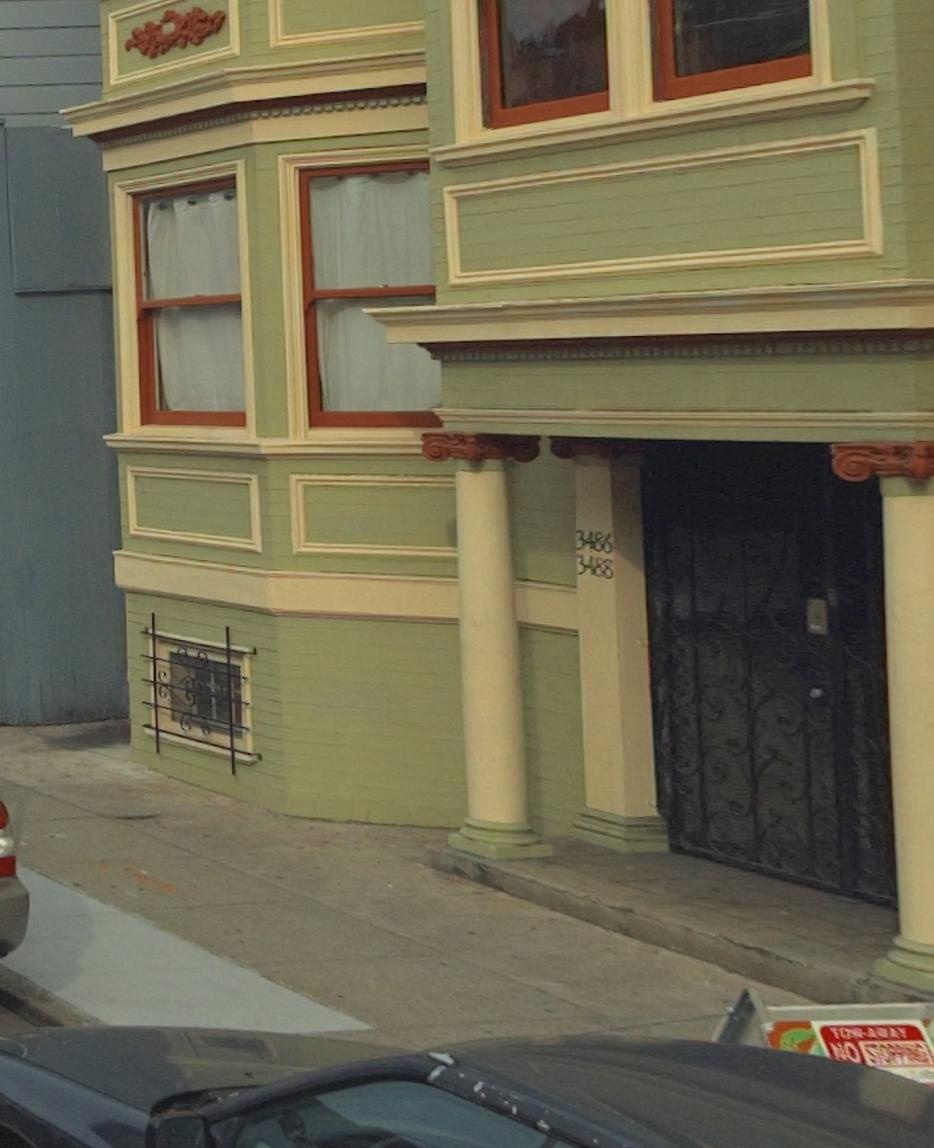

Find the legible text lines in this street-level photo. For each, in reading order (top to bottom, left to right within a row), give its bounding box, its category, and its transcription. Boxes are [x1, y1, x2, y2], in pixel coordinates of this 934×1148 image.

[574, 529, 615, 555] StreetNumber: 3486
[576, 553, 614, 582] StreetNumber: 3488
[828, 1026, 909, 1041] None: TOW-AWAY
[827, 1040, 932, 1064] None: NO STOPPING